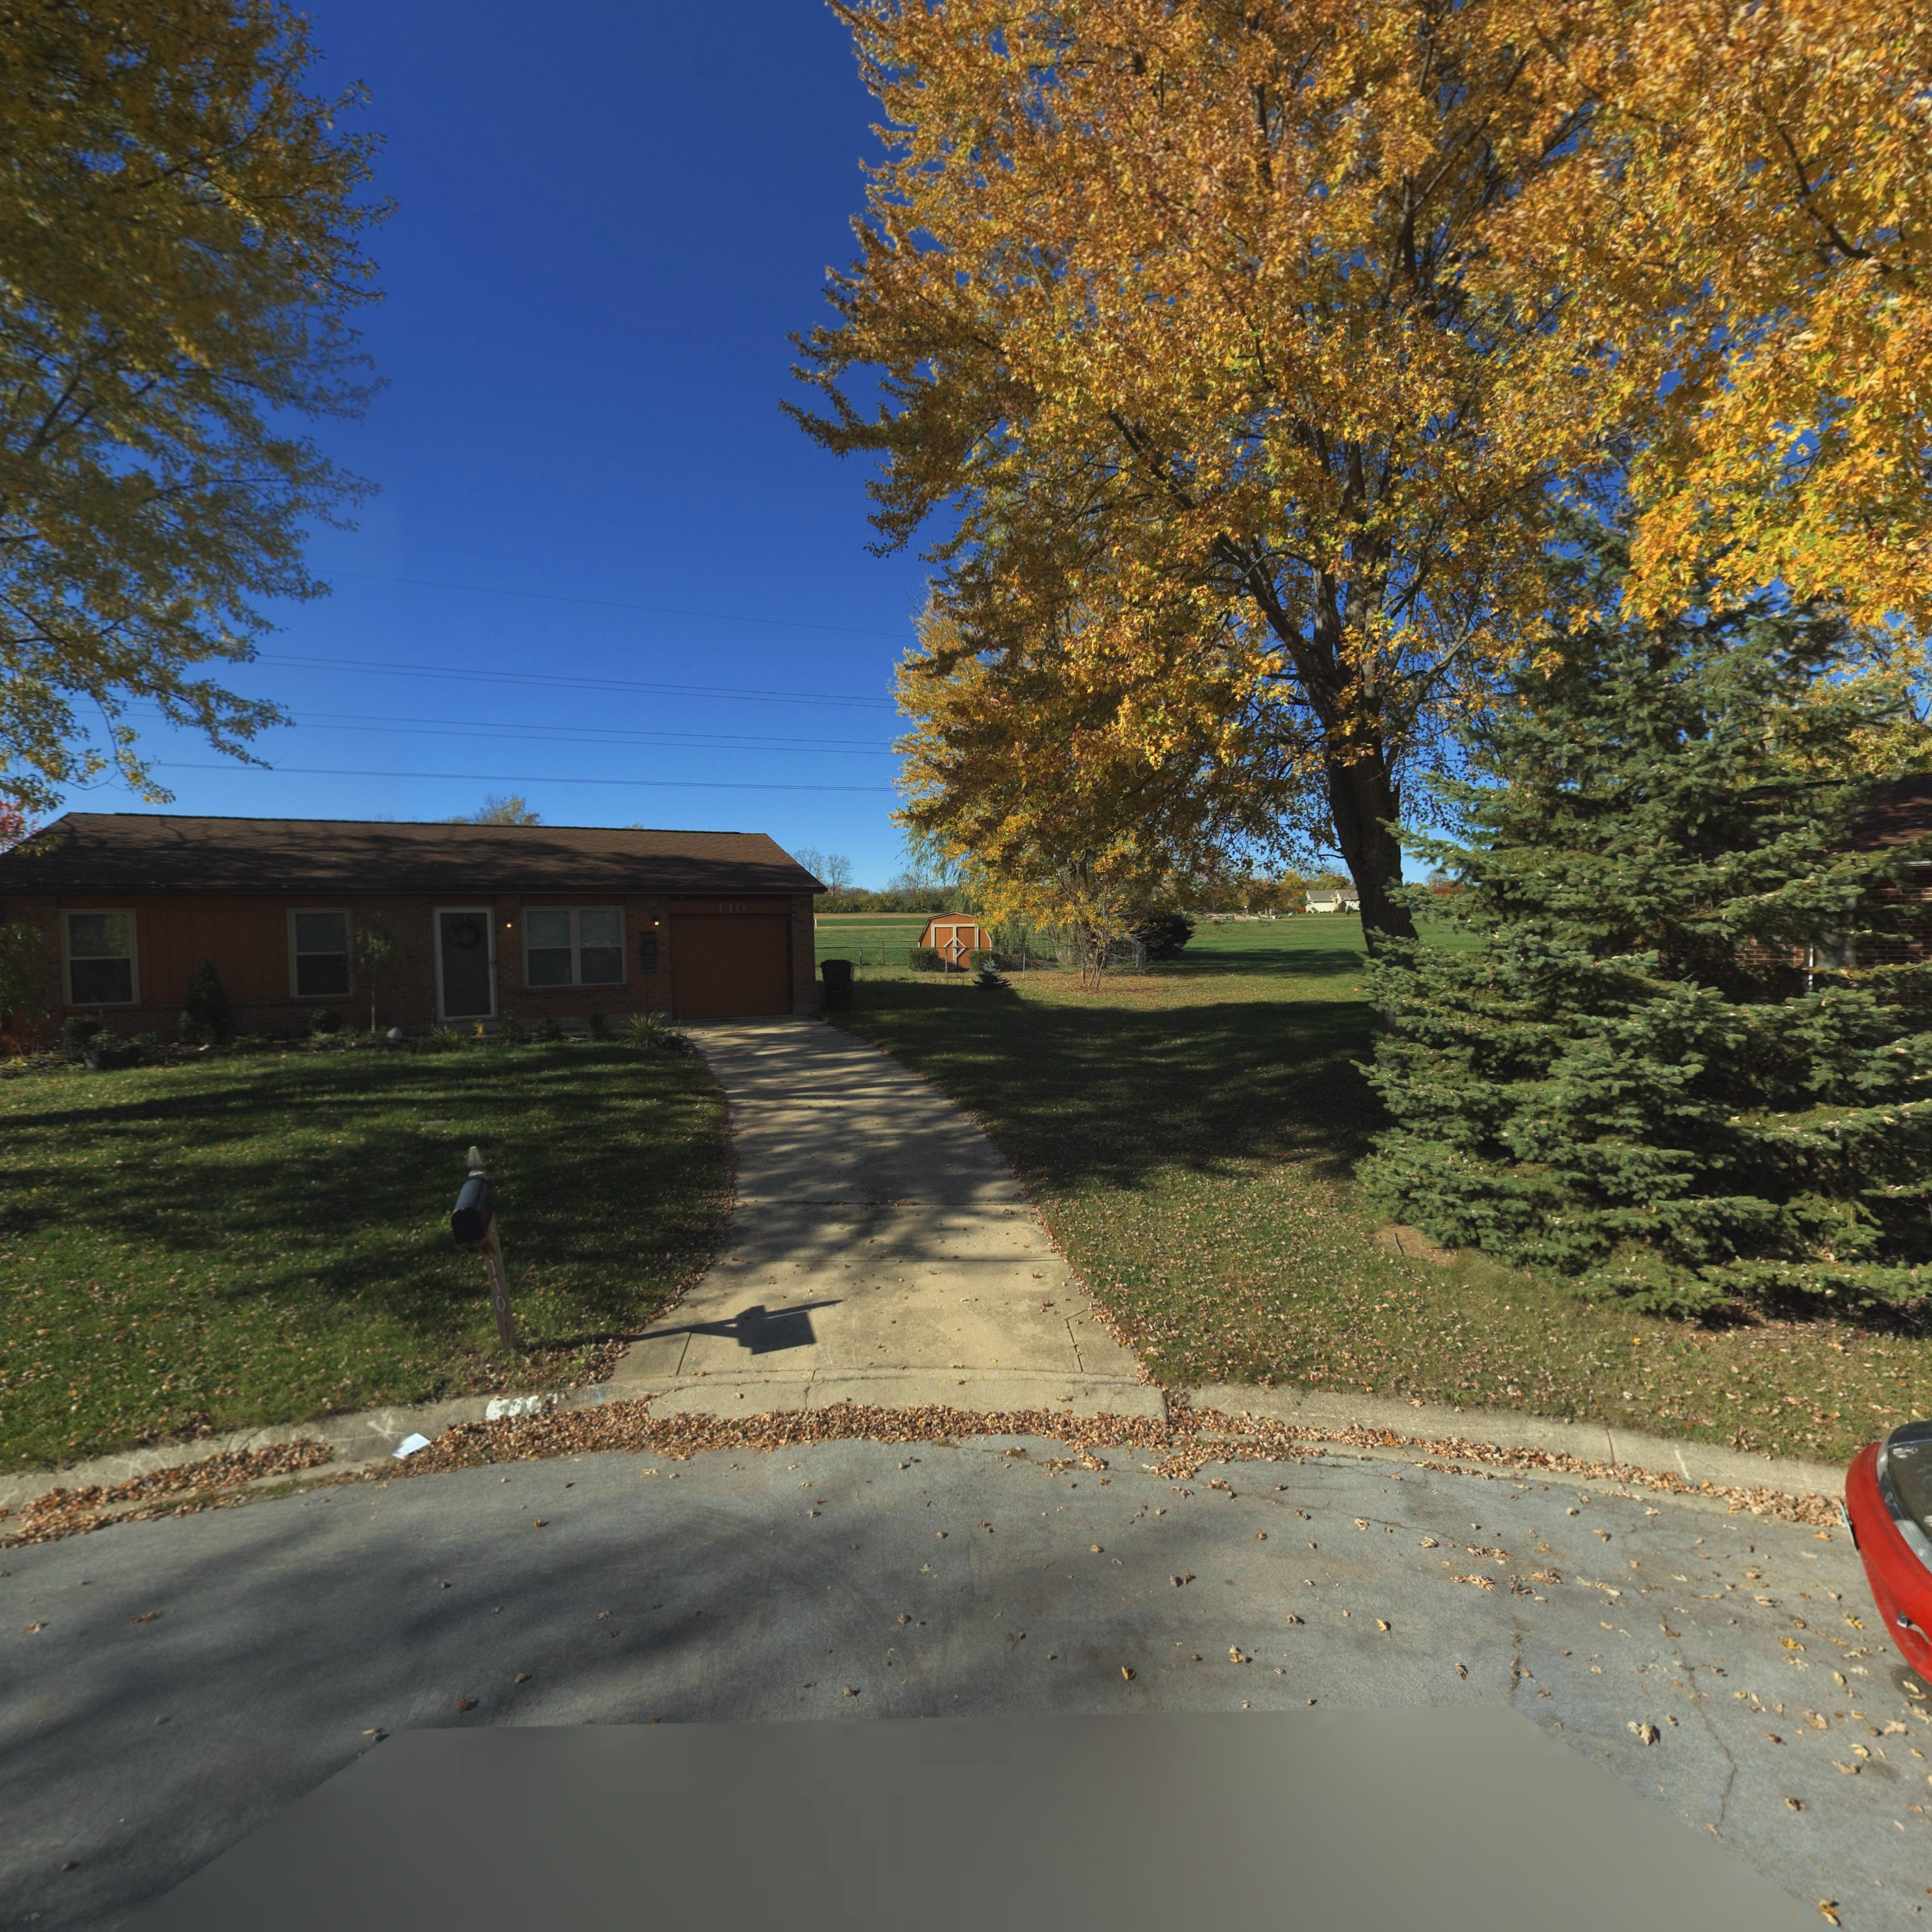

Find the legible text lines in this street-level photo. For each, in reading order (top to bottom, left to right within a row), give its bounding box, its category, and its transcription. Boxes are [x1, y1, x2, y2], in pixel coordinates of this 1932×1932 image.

[717, 902, 746, 913] StreetNumber: 110
[486, 1257, 508, 1314] StreetNumber: 110